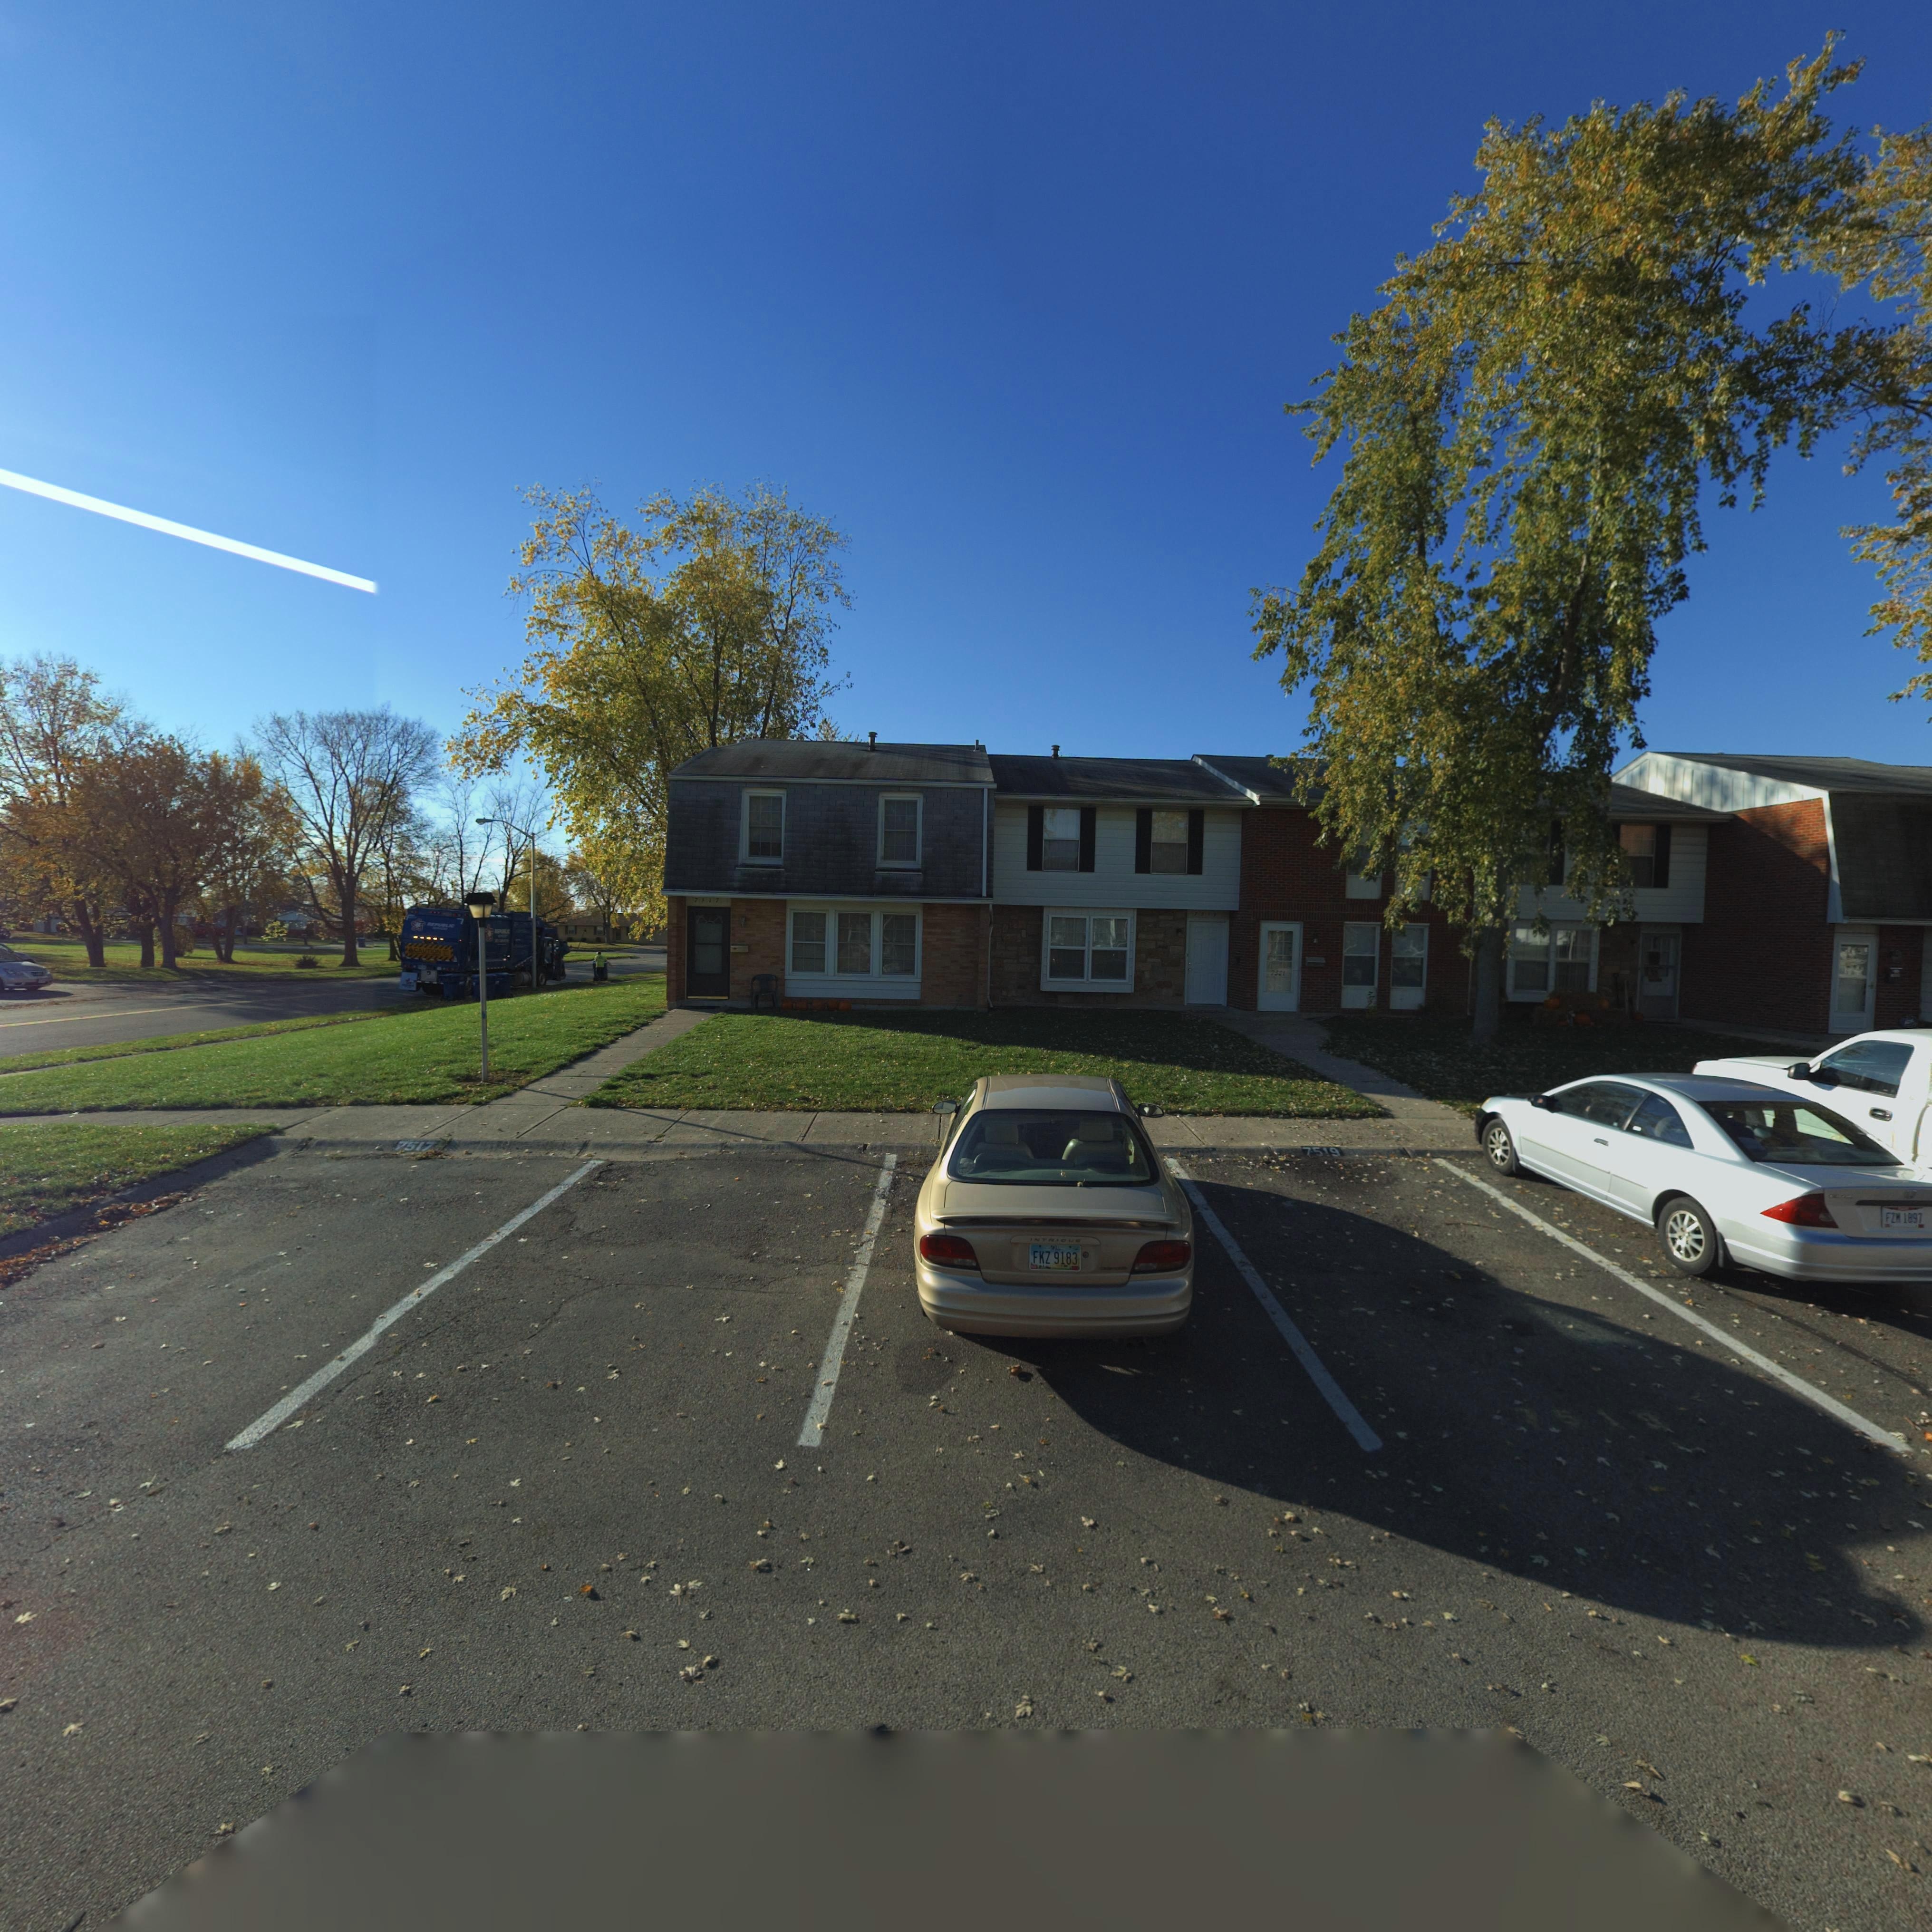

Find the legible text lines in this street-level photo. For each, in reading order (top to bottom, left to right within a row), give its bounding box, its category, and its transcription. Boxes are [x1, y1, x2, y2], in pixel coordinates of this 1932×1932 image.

[694, 898, 720, 903] StreetNumber: 7517
[1193, 911, 1218, 918] StreetNumber: 7519
[1270, 969, 1286, 976] StreetNumber: 7521
[393, 1140, 438, 1152] StreetNumber: 7517
[1301, 1147, 1342, 1157] StreetNumber: 7519
[1507, 1407, 1671, 1430] StreetNumber: 7519